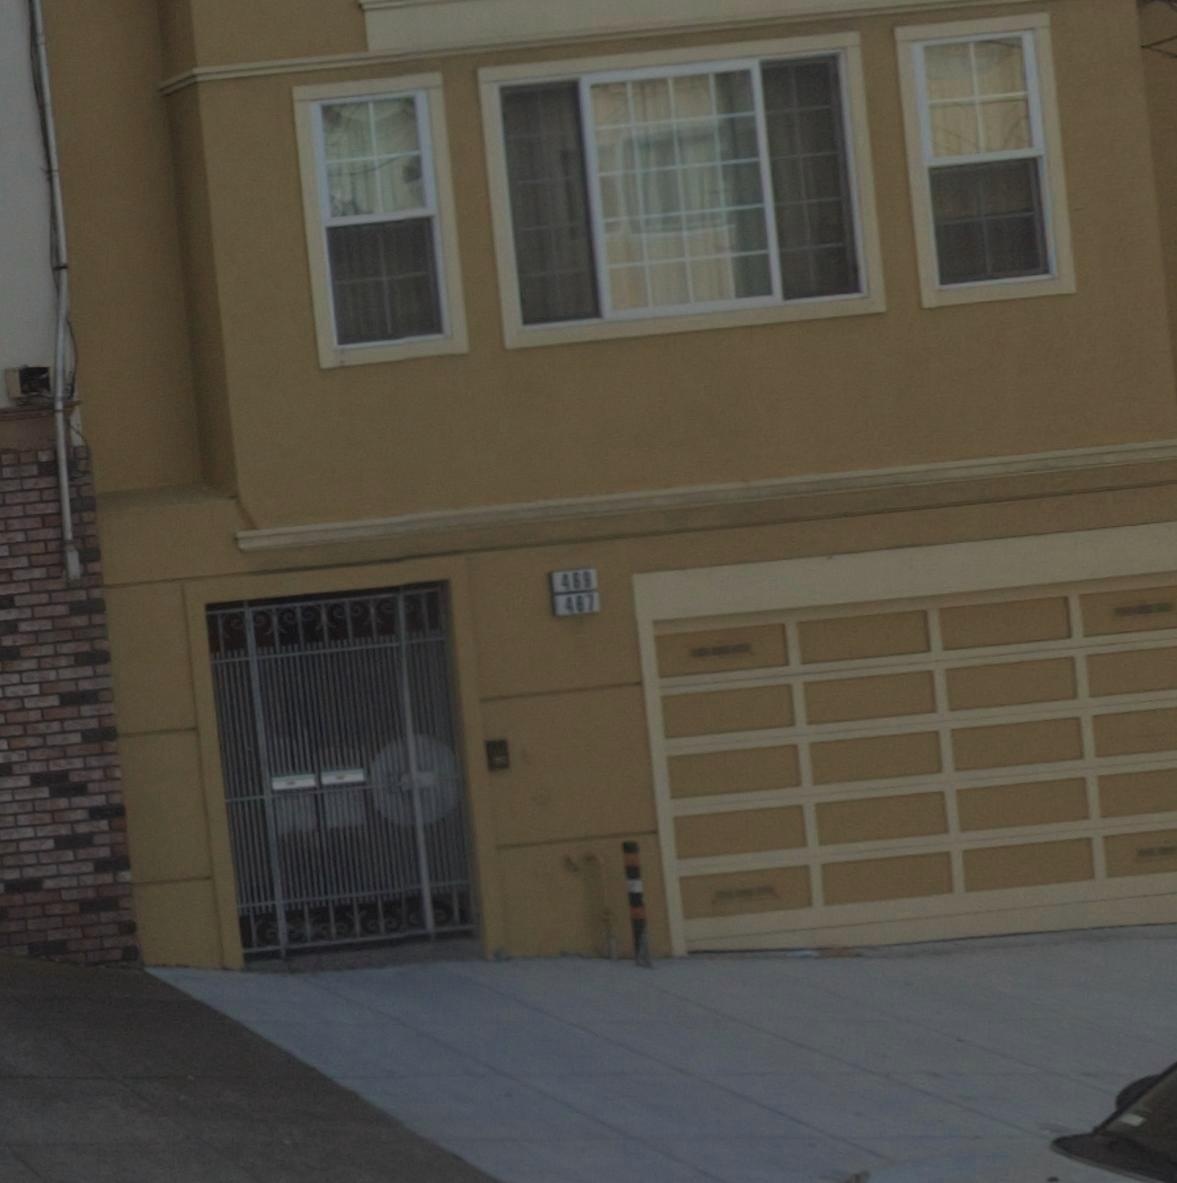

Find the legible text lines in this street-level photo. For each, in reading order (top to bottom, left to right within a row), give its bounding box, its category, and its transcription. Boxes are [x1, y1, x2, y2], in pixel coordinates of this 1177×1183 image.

[559, 569, 594, 592] StreetNumber: 469
[561, 592, 598, 615] StreetNumber: 467